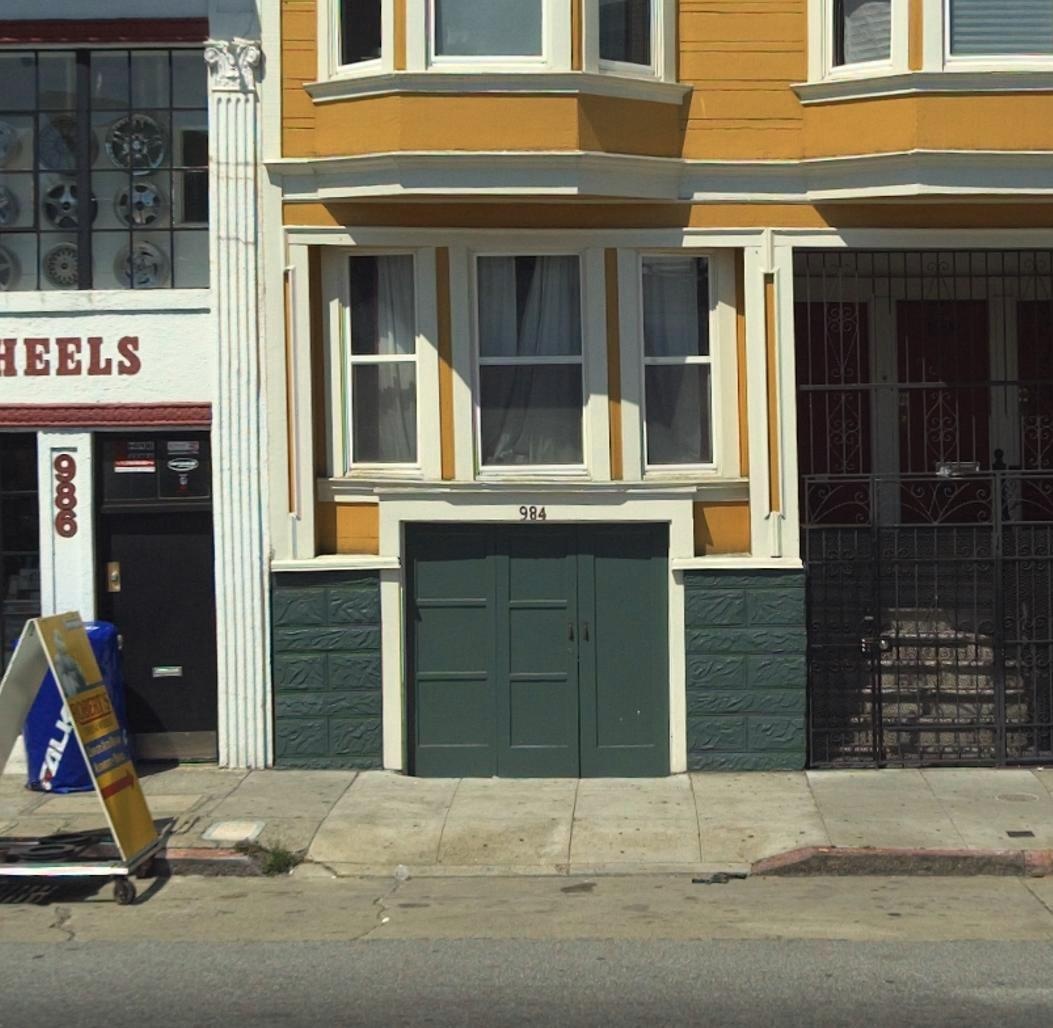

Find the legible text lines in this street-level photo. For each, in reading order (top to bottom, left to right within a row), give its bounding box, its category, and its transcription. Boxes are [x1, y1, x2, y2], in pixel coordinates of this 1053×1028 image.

[21, 334, 143, 377] BusinessName: EELS
[53, 454, 78, 537] None: 986
[518, 504, 548, 522] StreetNumber: 984